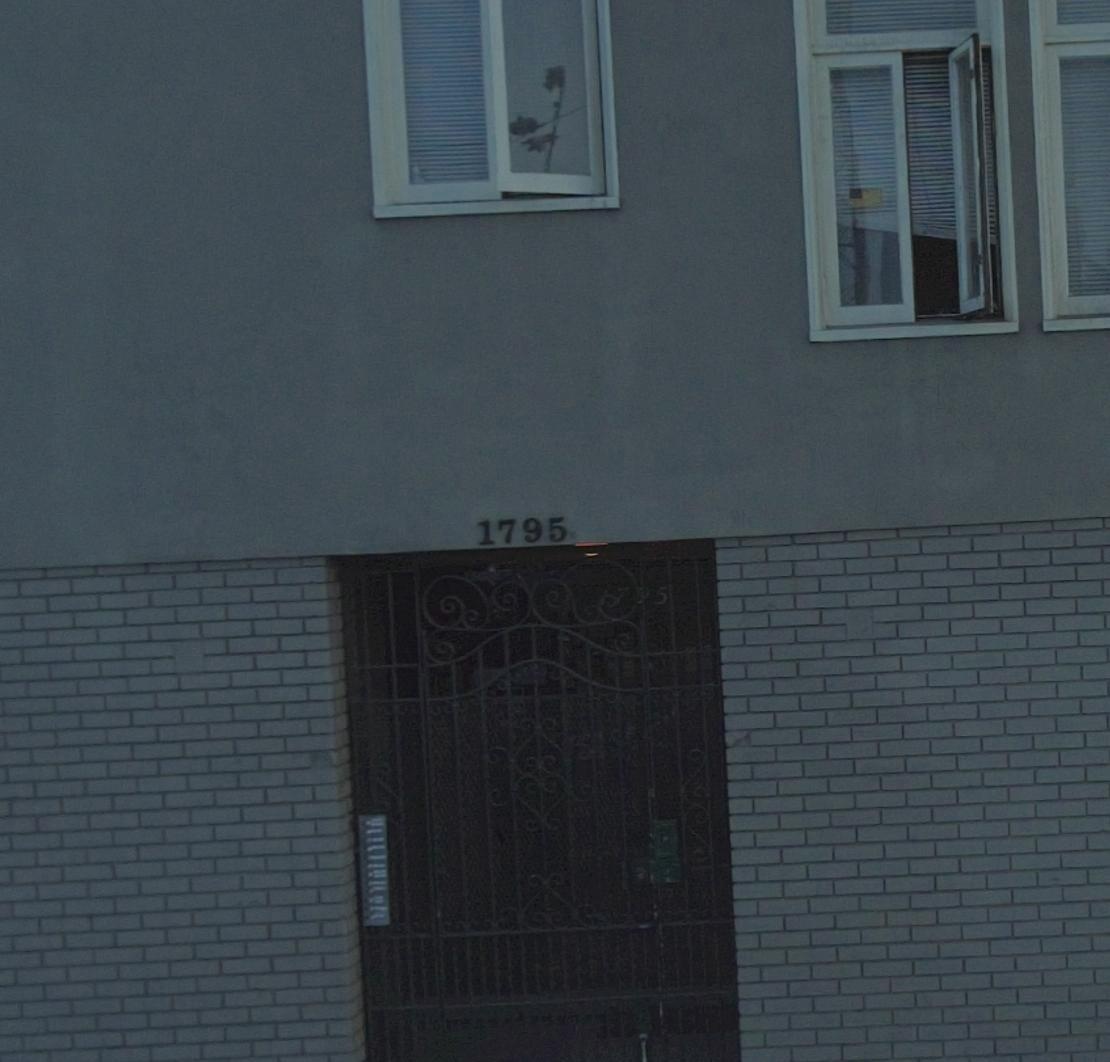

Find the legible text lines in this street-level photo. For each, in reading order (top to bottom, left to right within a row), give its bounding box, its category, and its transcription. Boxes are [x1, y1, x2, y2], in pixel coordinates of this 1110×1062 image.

[476, 514, 570, 549] StreetNumber: 1795